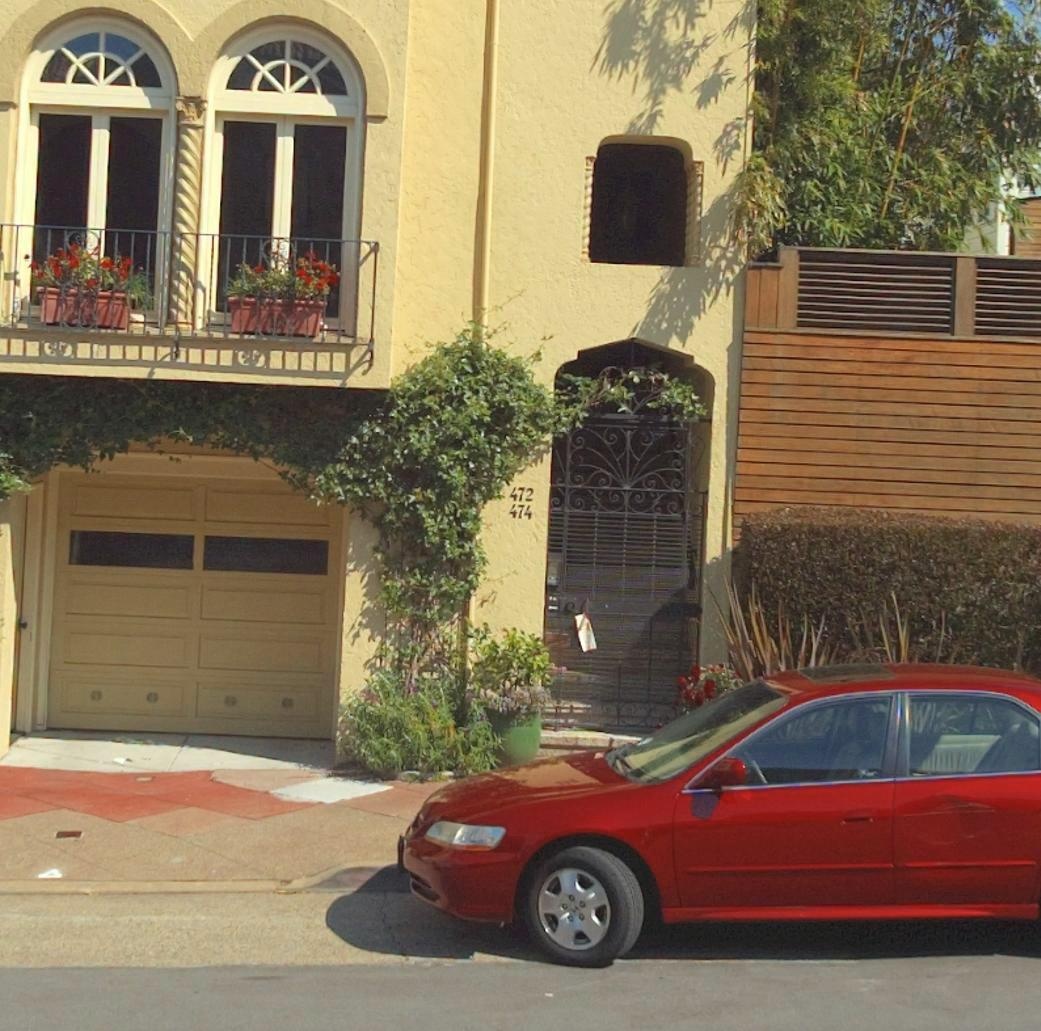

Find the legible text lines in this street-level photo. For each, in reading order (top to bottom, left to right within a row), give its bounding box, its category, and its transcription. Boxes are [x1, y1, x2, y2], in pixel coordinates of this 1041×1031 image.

[508, 486, 535, 502] StreetNumber: 472
[507, 503, 534, 521] StreetNumber: 474